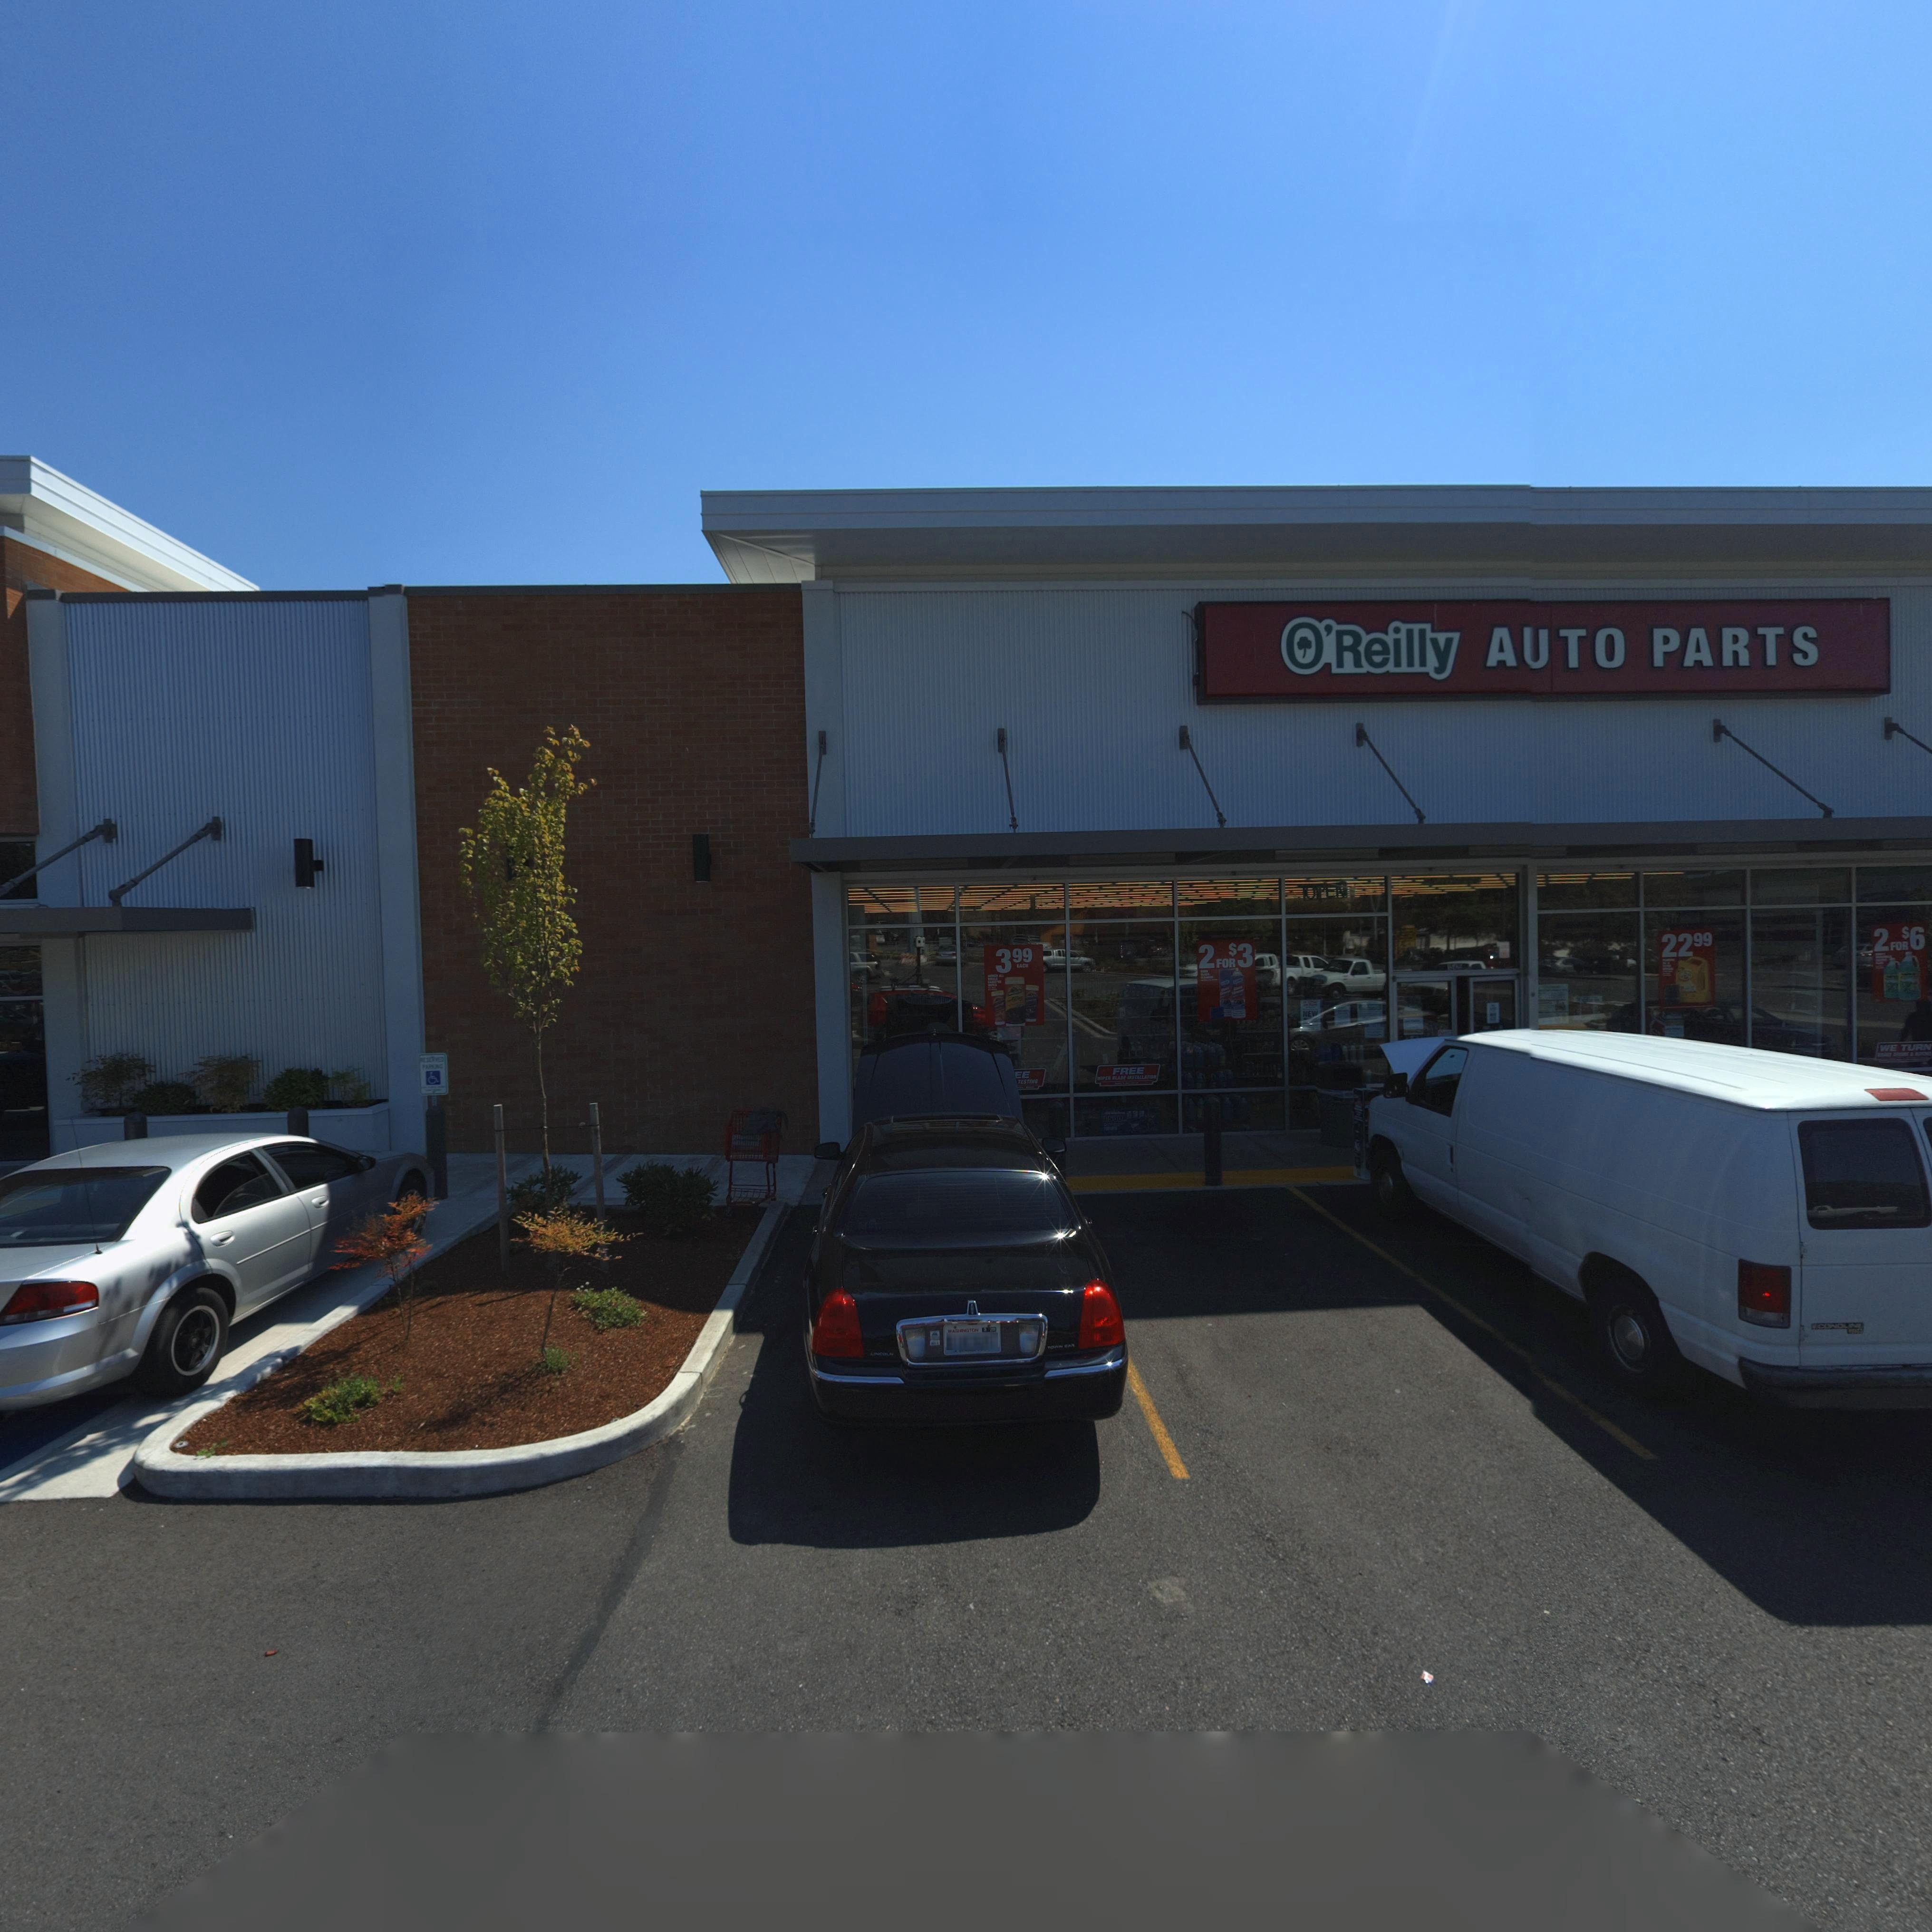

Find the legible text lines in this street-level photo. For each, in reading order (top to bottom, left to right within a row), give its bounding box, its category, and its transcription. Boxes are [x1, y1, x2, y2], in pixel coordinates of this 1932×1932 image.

[1282, 614, 1466, 681] BusinessName: *Reilly
[1487, 626, 1818, 667] BusinessName: AUTO PARTS